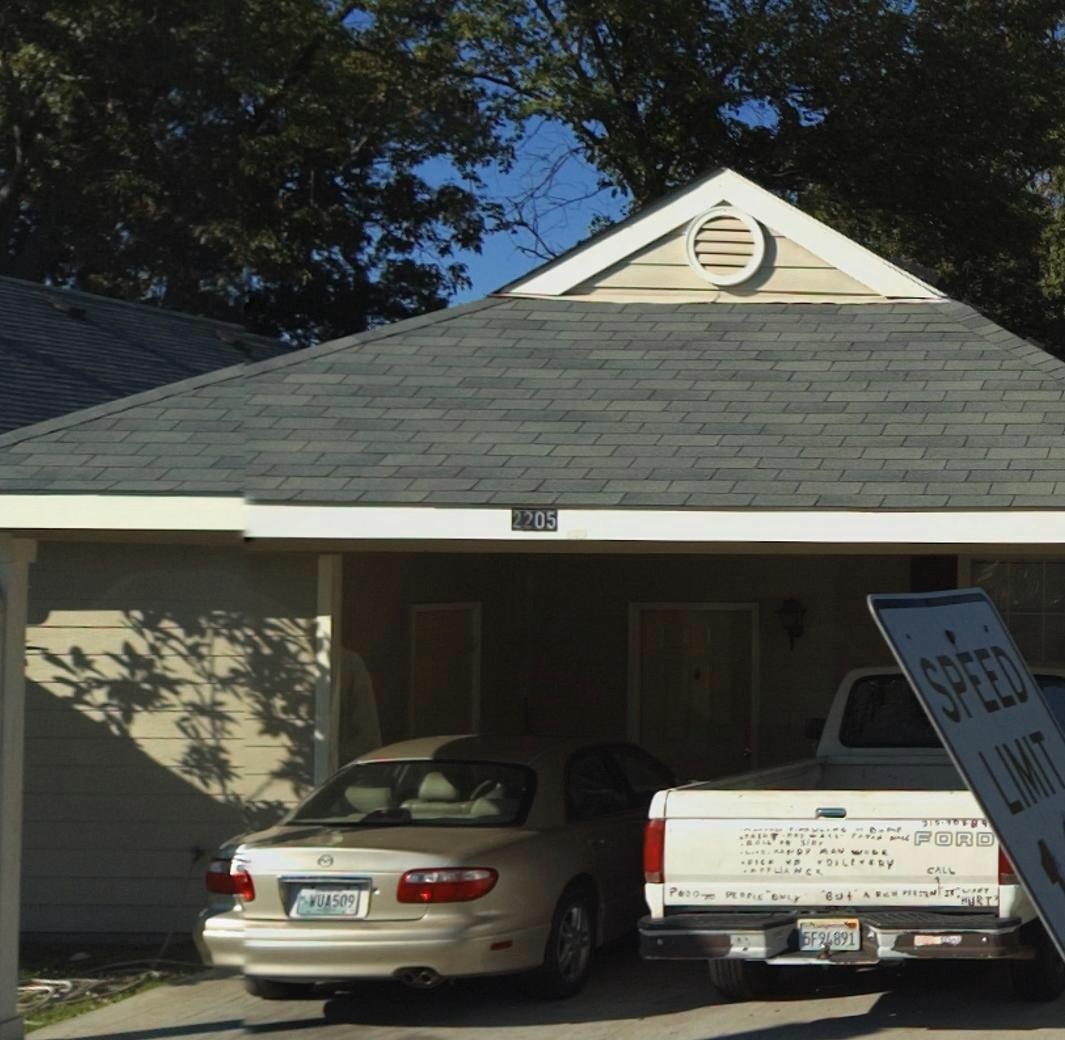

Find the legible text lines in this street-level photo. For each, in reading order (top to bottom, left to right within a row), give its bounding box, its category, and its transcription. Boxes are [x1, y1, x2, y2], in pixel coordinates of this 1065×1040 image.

[512, 509, 557, 531] StreetNumber: 2205
[918, 644, 1030, 725] None: SPEED
[975, 728, 1064, 818] None: LIMIT
[912, 830, 996, 848] None: FORD
[307, 893, 357, 910] None: WUA509
[801, 929, 857, 947] None: *F9*891